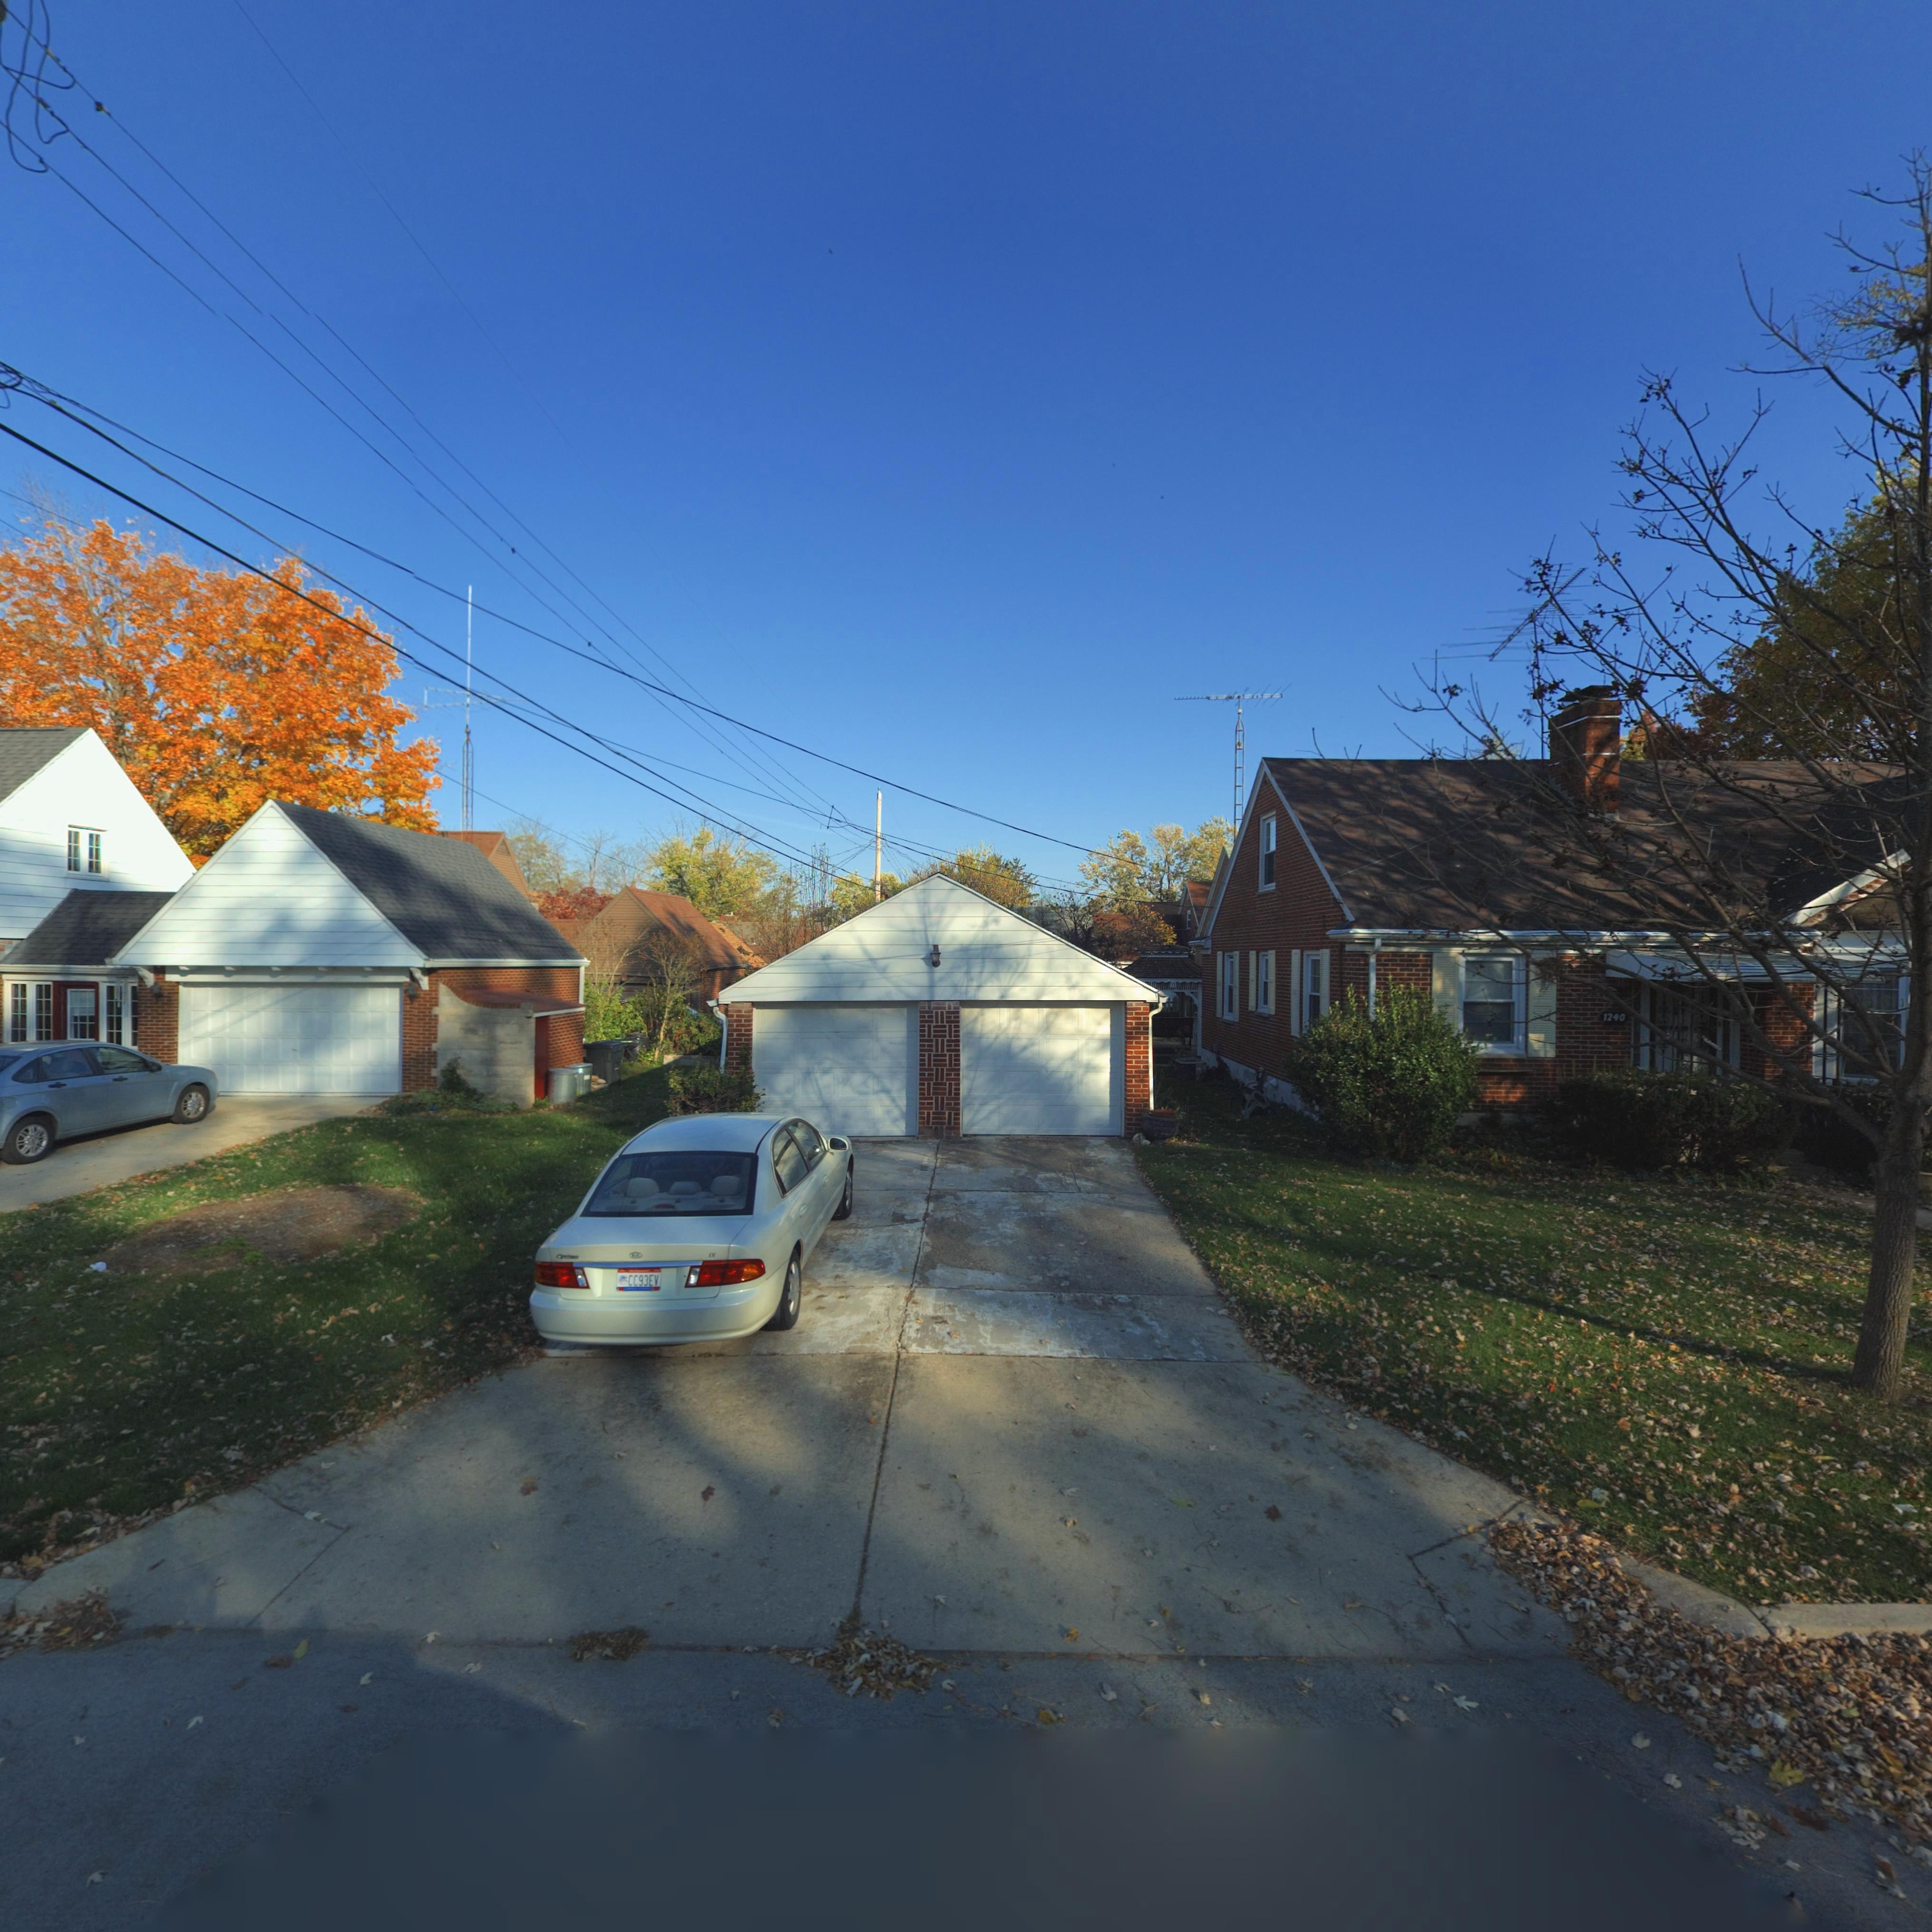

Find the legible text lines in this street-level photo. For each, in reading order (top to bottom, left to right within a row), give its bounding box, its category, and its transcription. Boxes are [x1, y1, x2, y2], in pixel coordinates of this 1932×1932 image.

[1603, 1013, 1625, 1021] StreetNumber: 1240